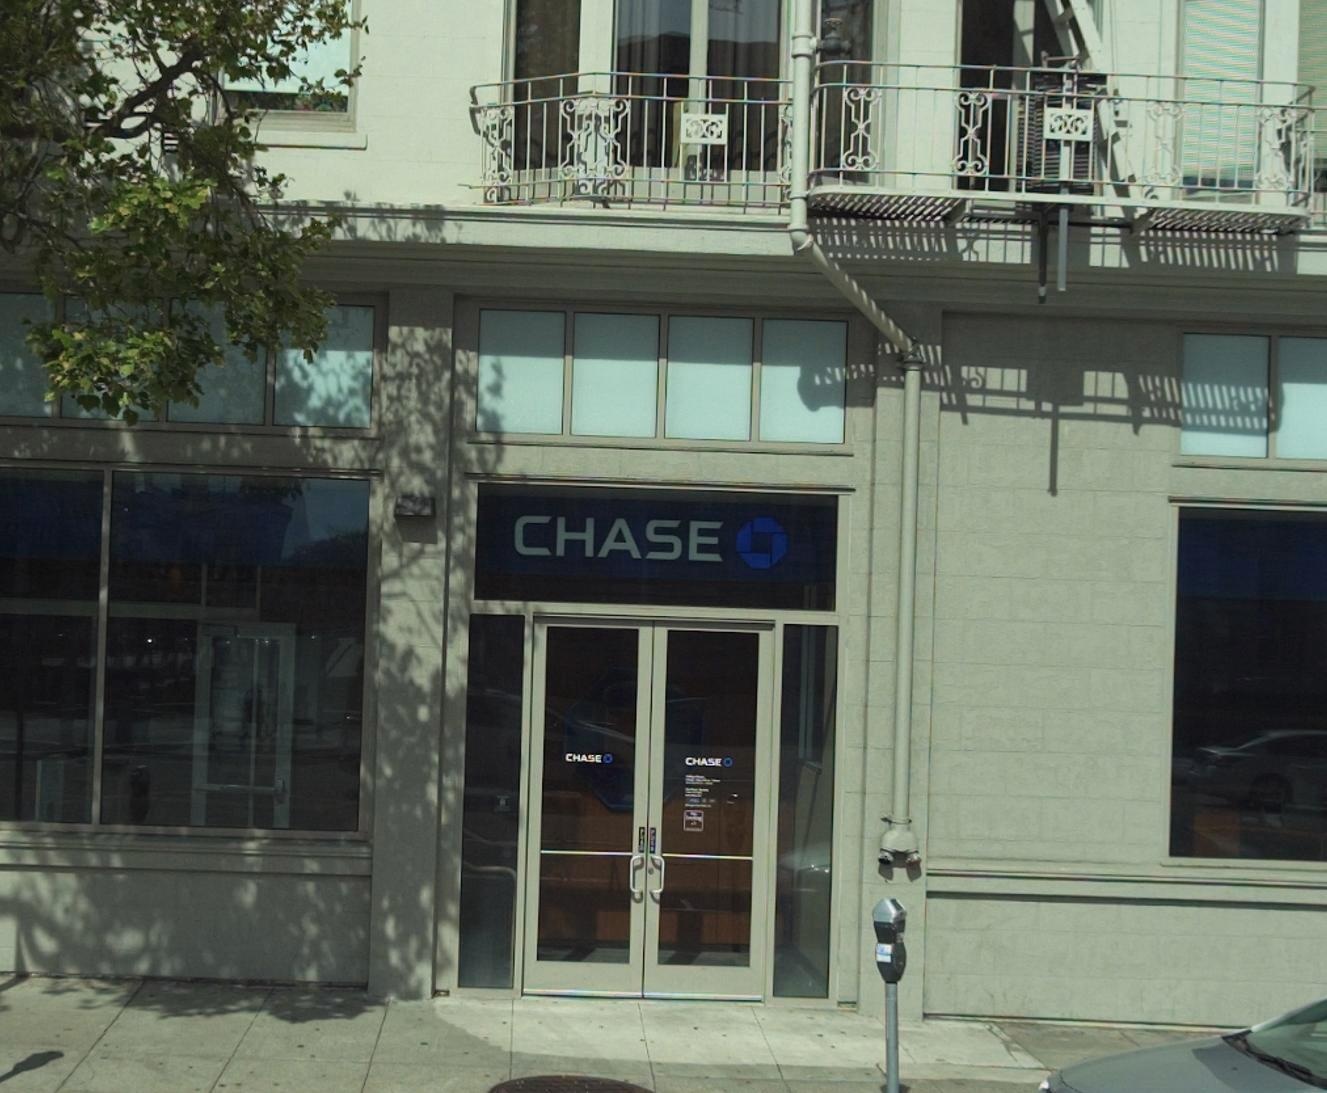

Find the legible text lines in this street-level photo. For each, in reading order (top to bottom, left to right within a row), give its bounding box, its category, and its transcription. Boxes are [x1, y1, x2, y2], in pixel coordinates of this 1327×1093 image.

[513, 512, 726, 563] BusinessName: CHASE
[563, 751, 603, 764] BusinessName: CHASE
[684, 755, 724, 769] BusinessName: CHASE